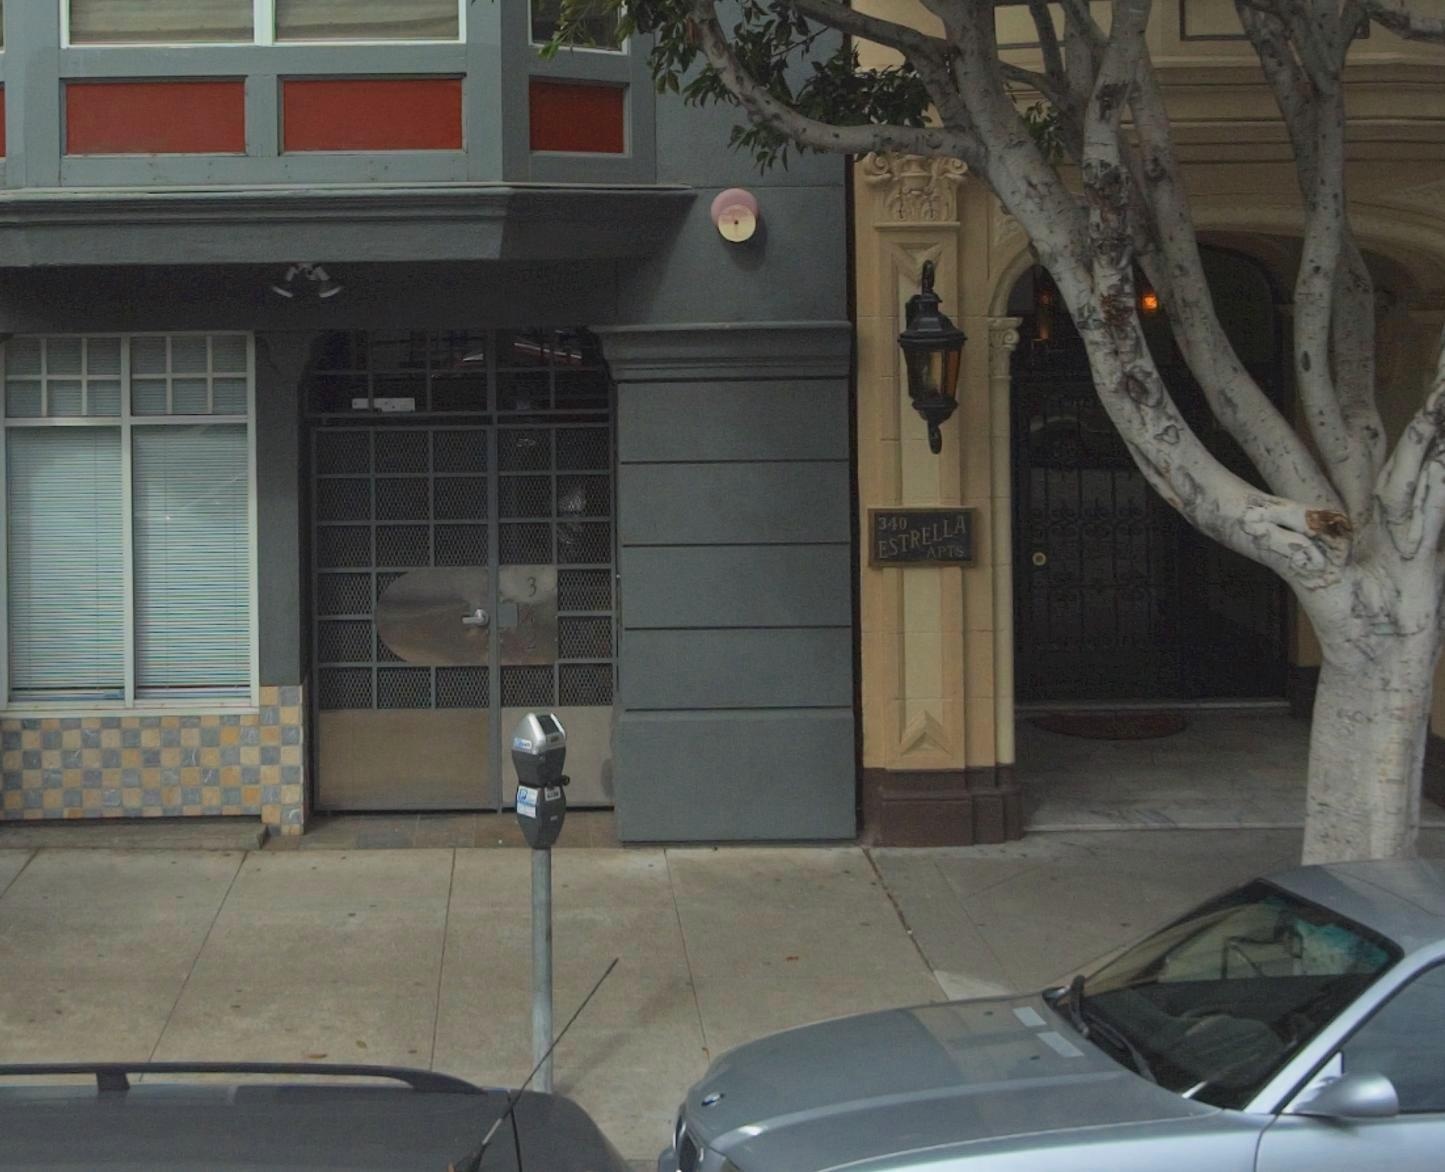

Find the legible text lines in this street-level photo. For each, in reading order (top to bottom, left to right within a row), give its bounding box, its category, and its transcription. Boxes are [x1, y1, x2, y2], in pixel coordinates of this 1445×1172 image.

[877, 515, 909, 533] StreetNumber: 340
[877, 512, 970, 560] None: ESTRELLA
[925, 544, 966, 560] None: APTS
[524, 574, 539, 651] StreetNumber: 342